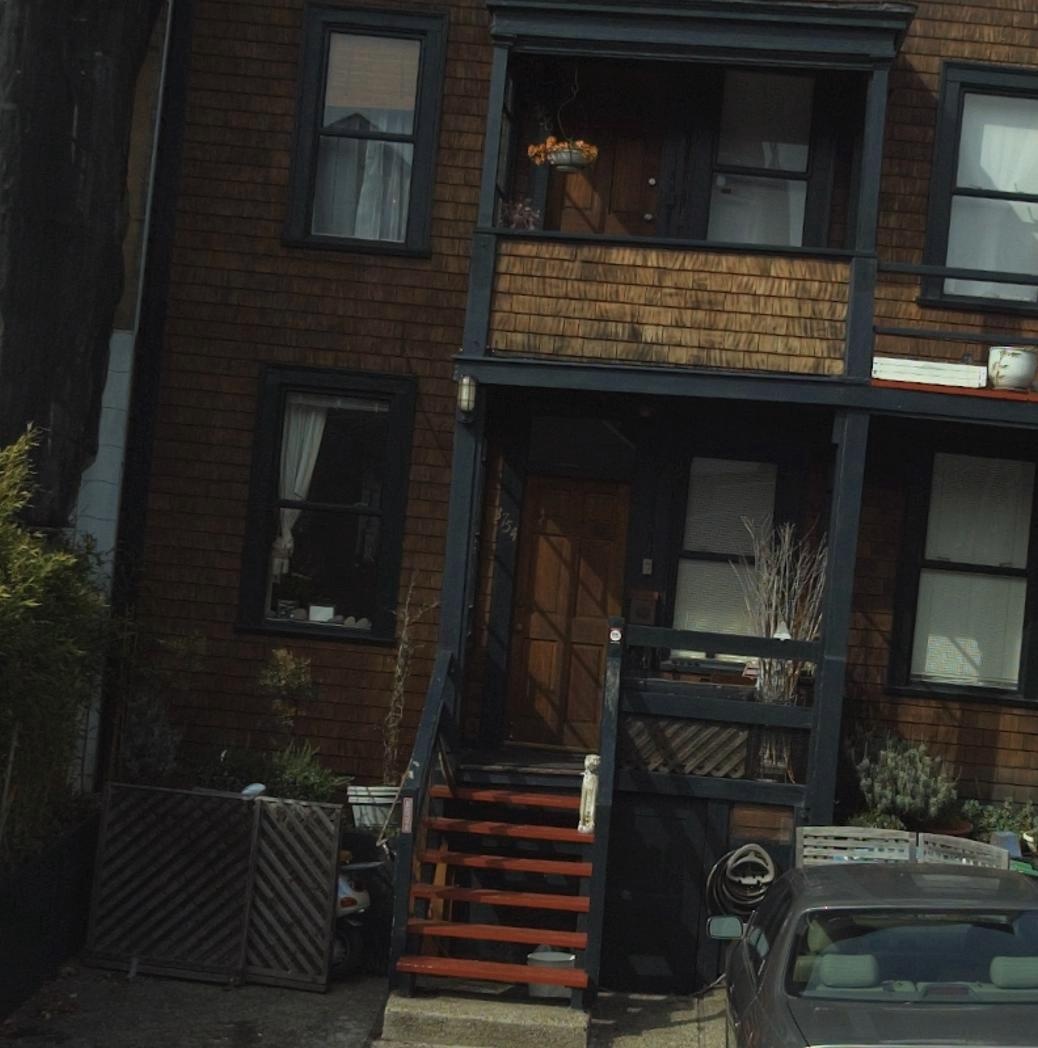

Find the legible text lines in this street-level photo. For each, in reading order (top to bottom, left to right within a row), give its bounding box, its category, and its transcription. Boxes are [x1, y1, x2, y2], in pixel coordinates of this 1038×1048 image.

[495, 502, 520, 547] StreetNumber: 3754